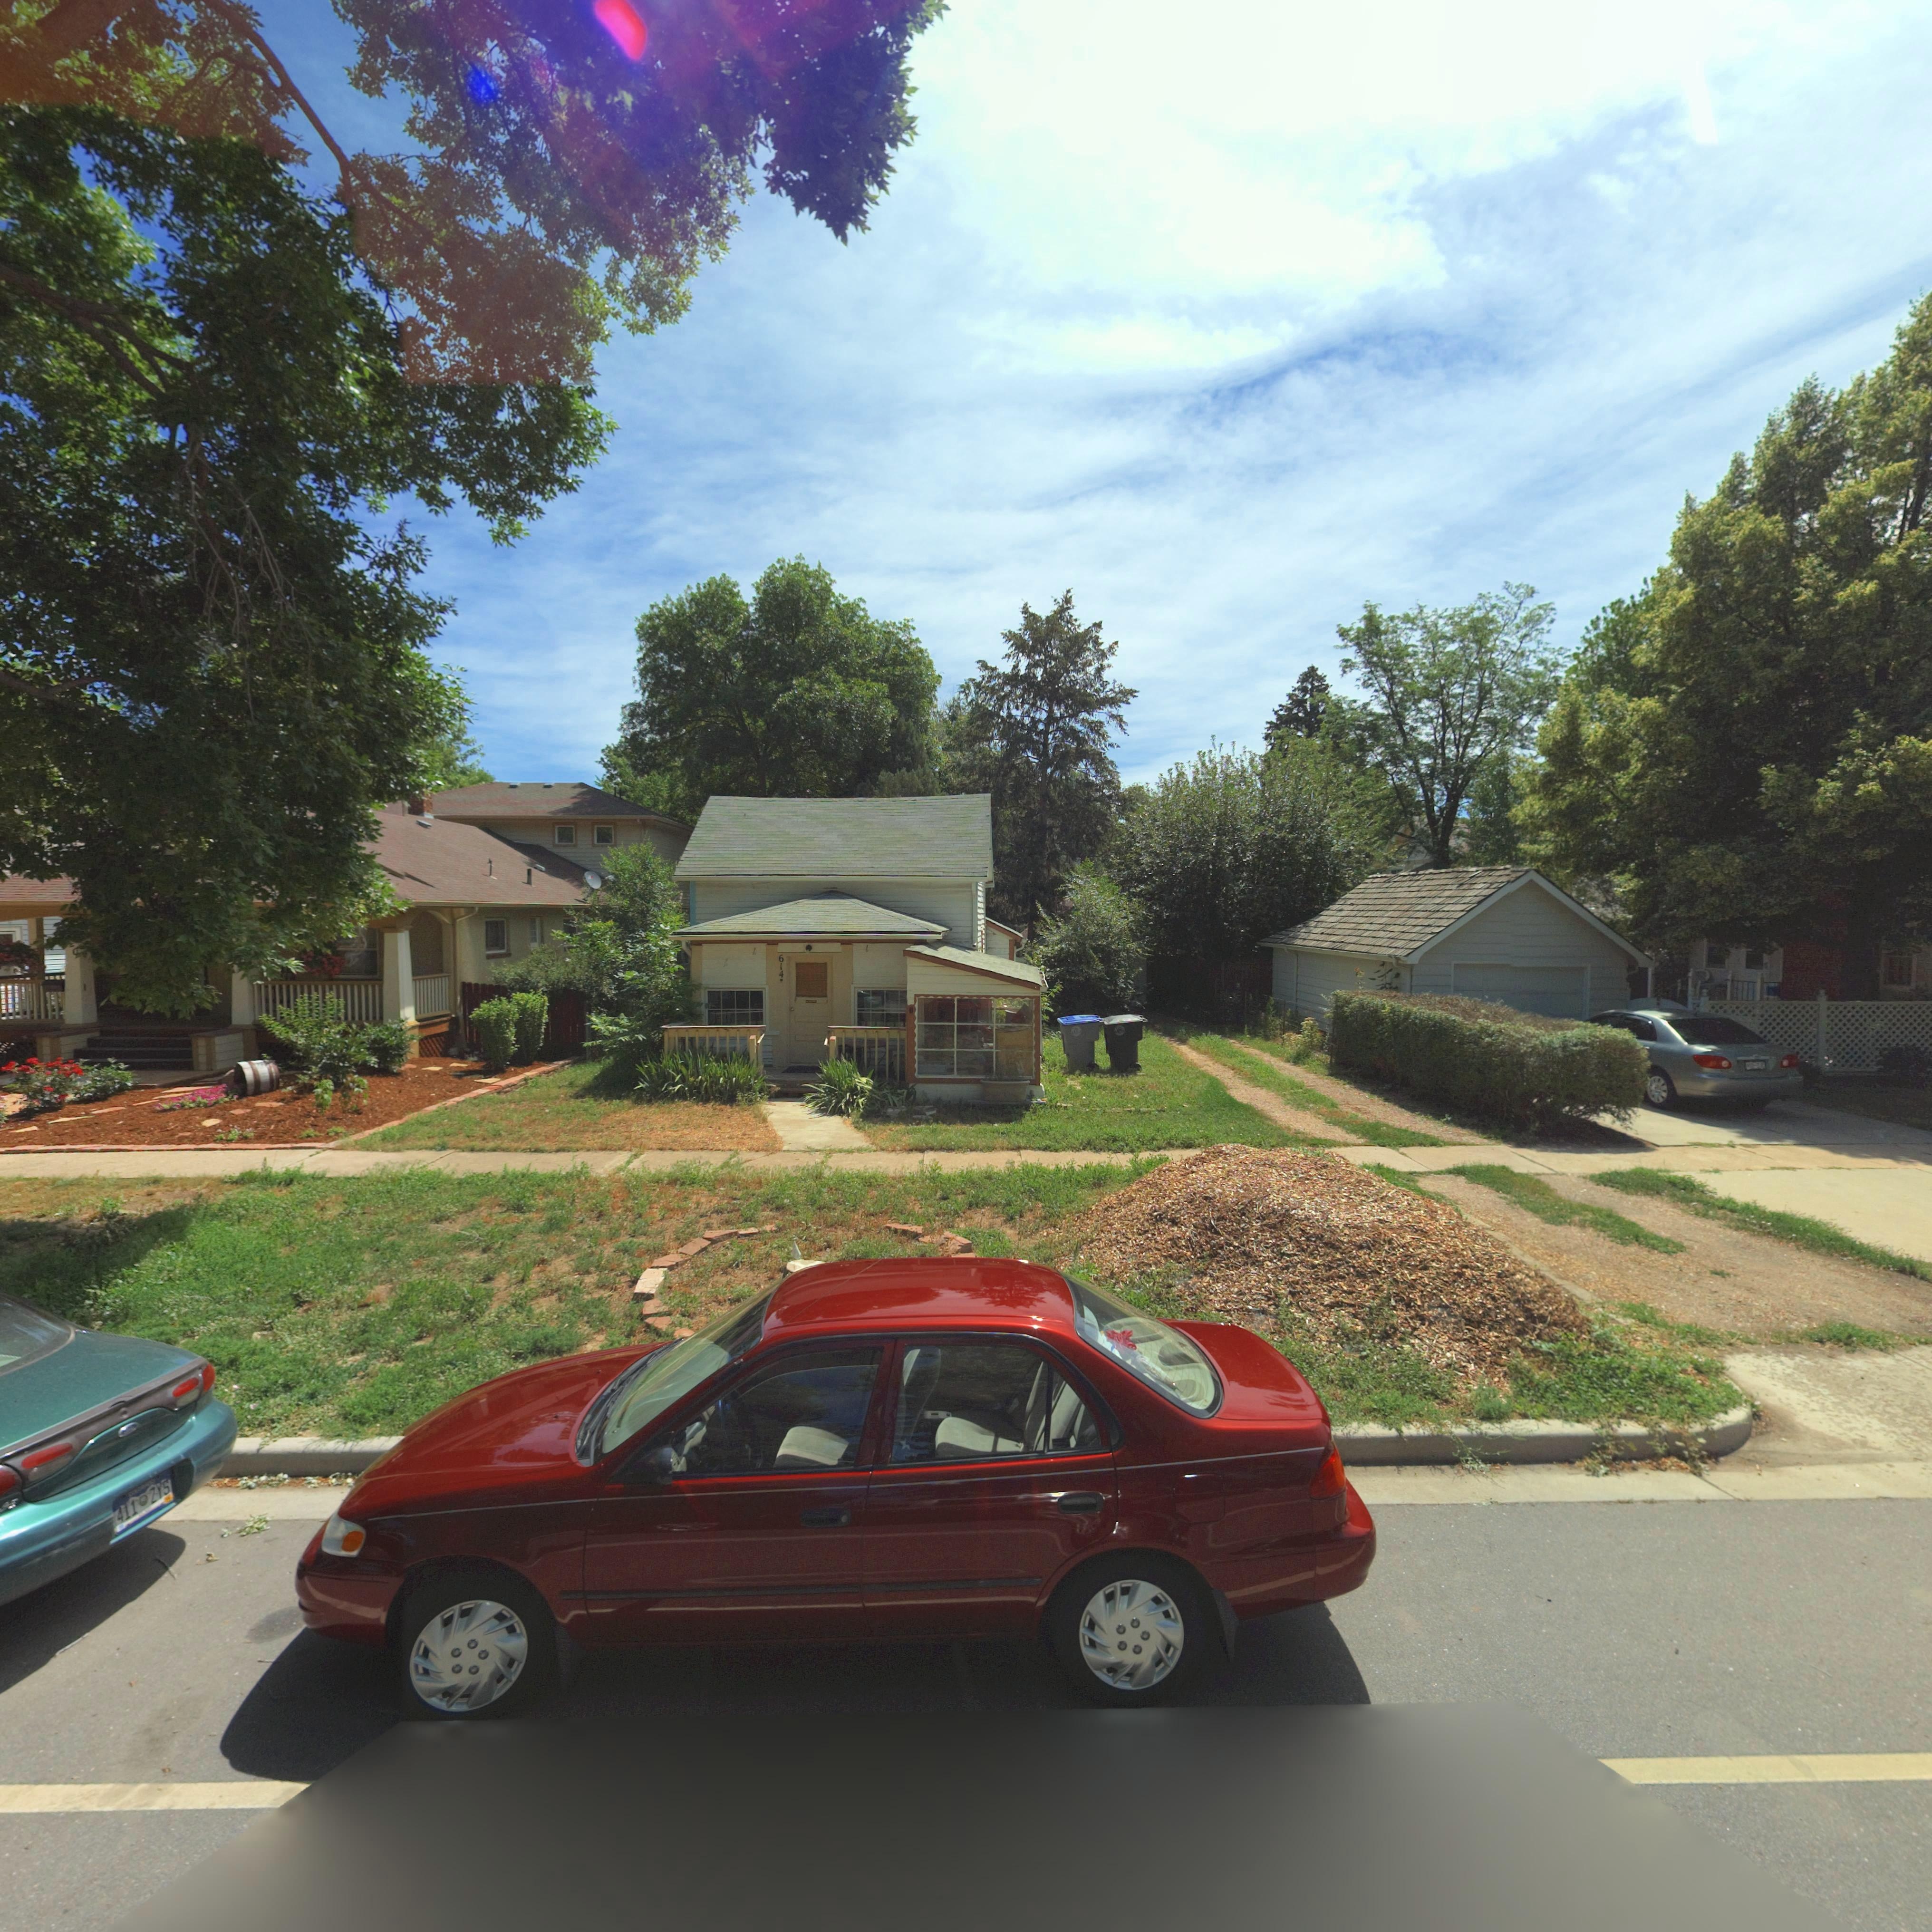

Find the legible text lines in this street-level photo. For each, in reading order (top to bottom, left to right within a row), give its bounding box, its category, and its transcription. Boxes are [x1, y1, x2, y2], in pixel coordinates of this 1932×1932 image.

[778, 954, 784, 978] StreetNumber: 614